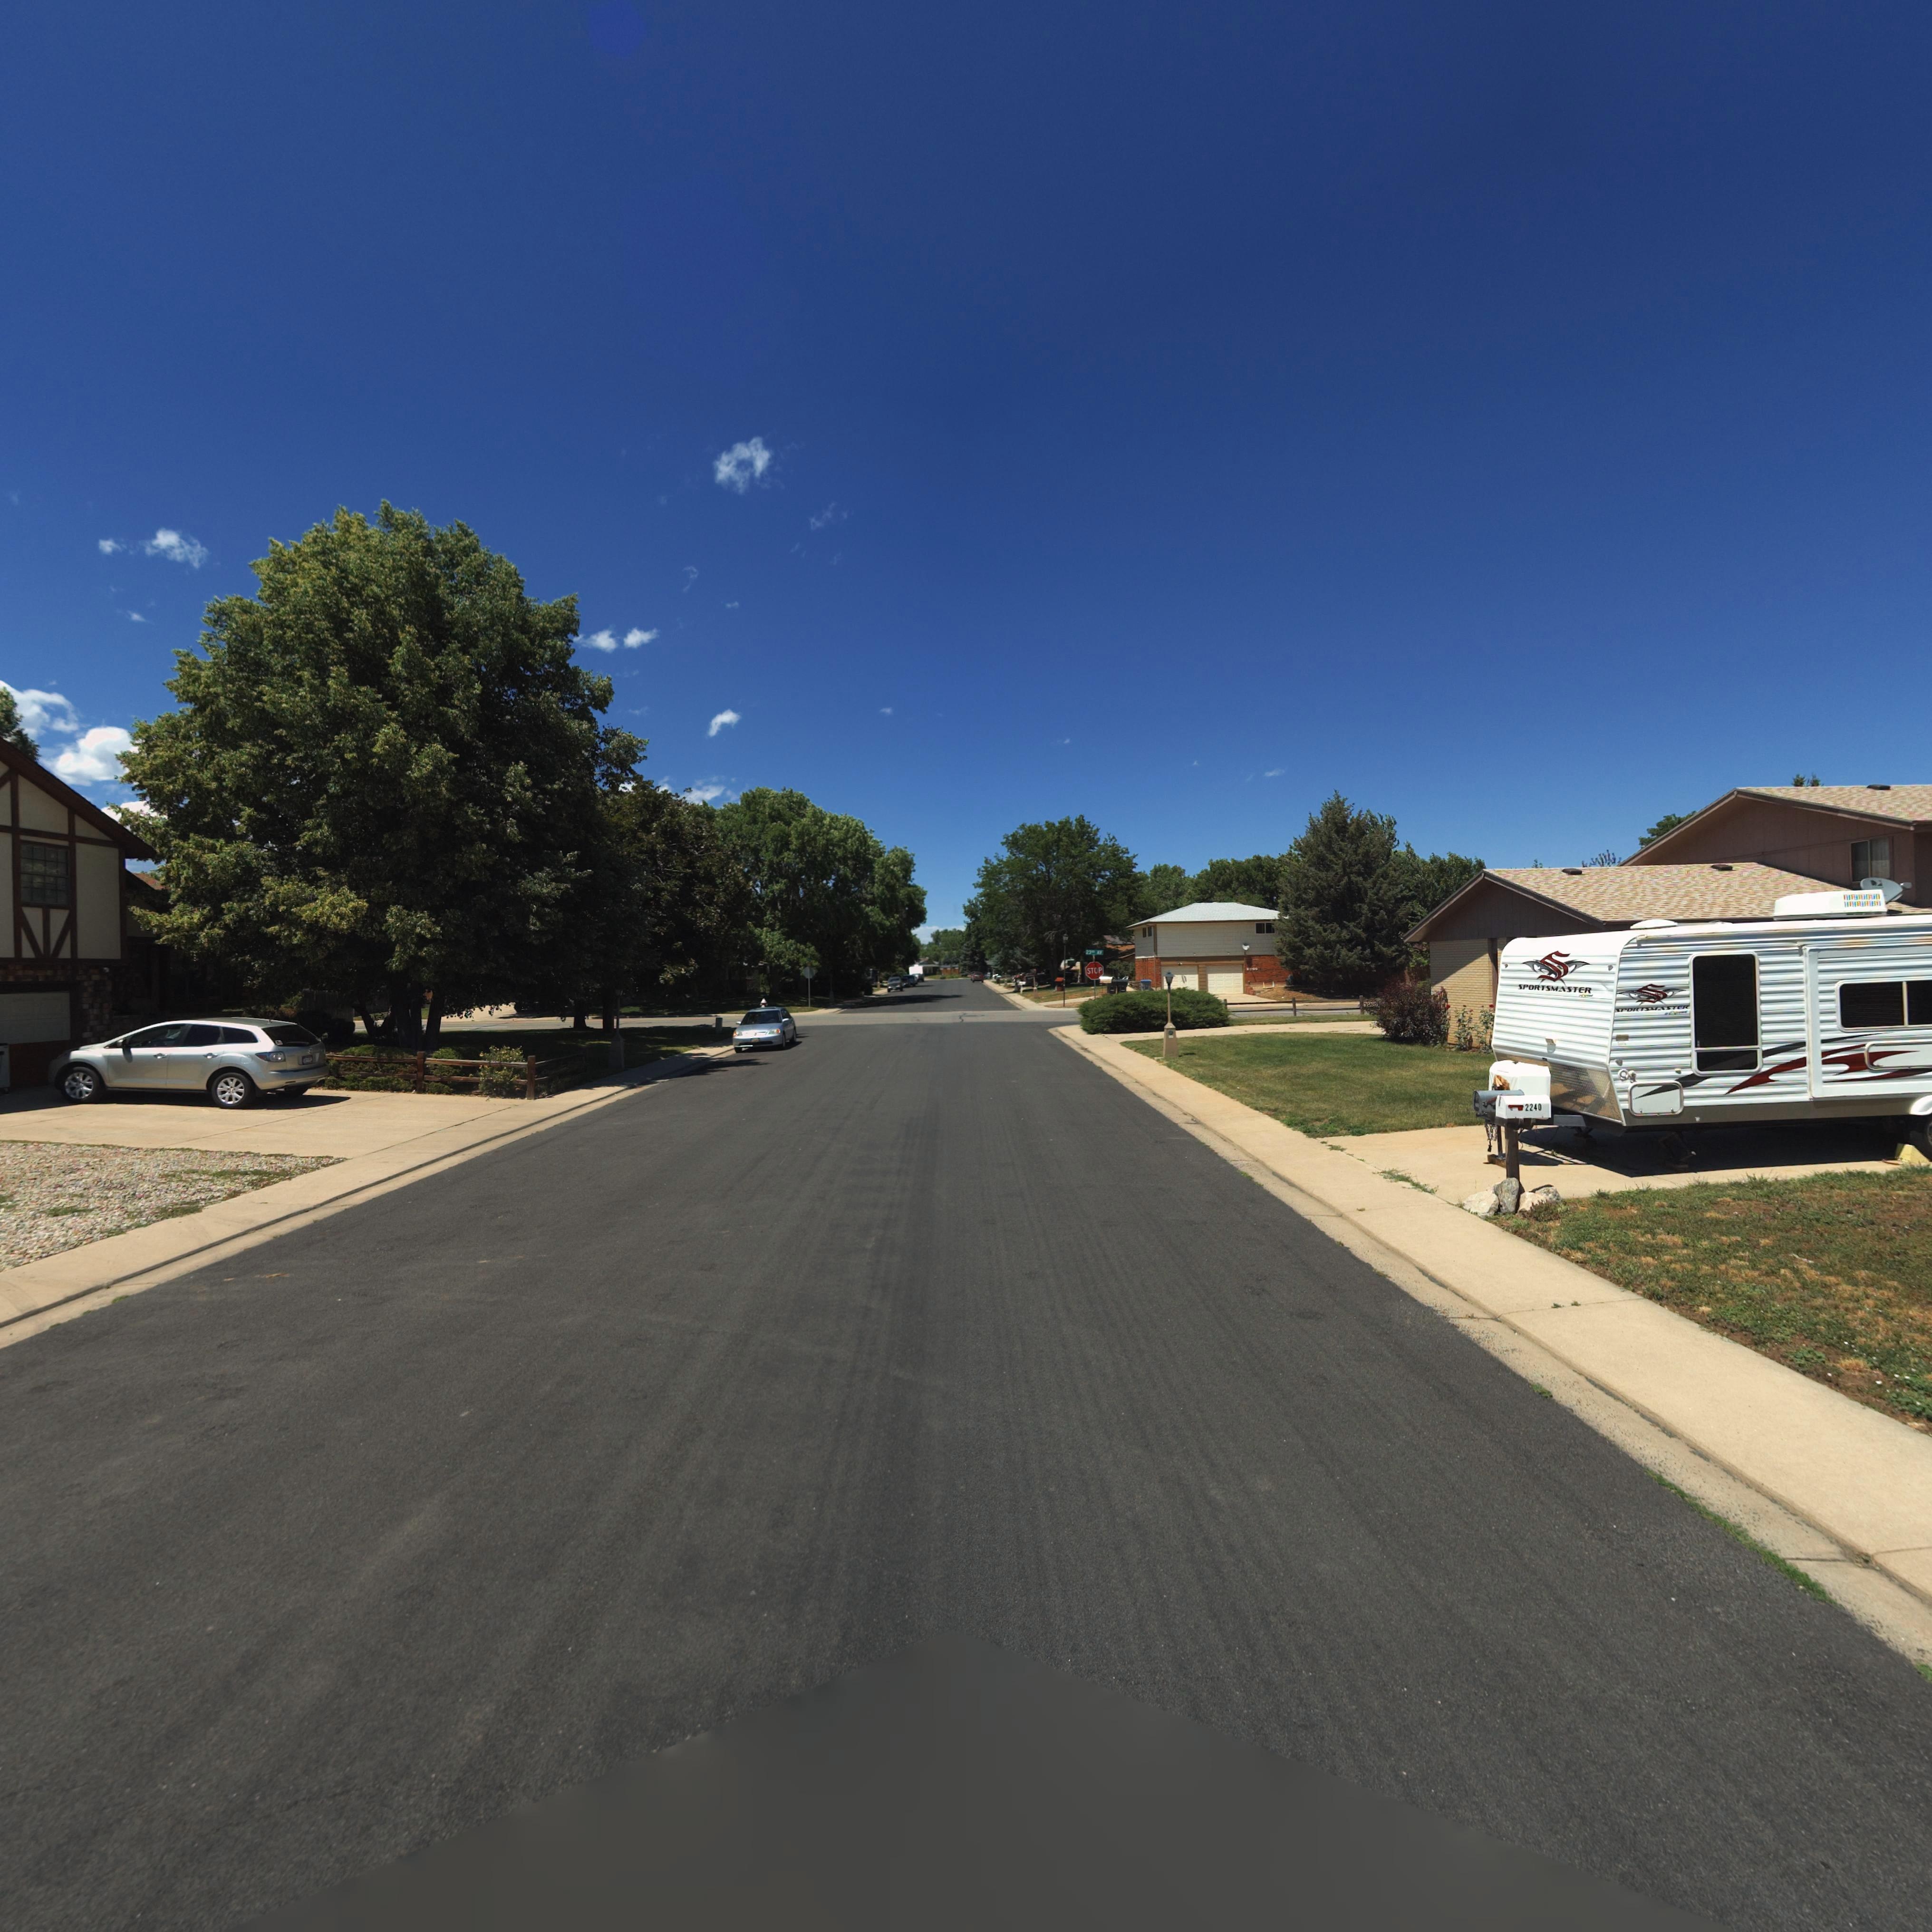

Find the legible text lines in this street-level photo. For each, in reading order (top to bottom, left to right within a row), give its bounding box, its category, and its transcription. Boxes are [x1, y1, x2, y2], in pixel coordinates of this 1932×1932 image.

[1525, 1103, 1542, 1112] StreetNumber: 2240